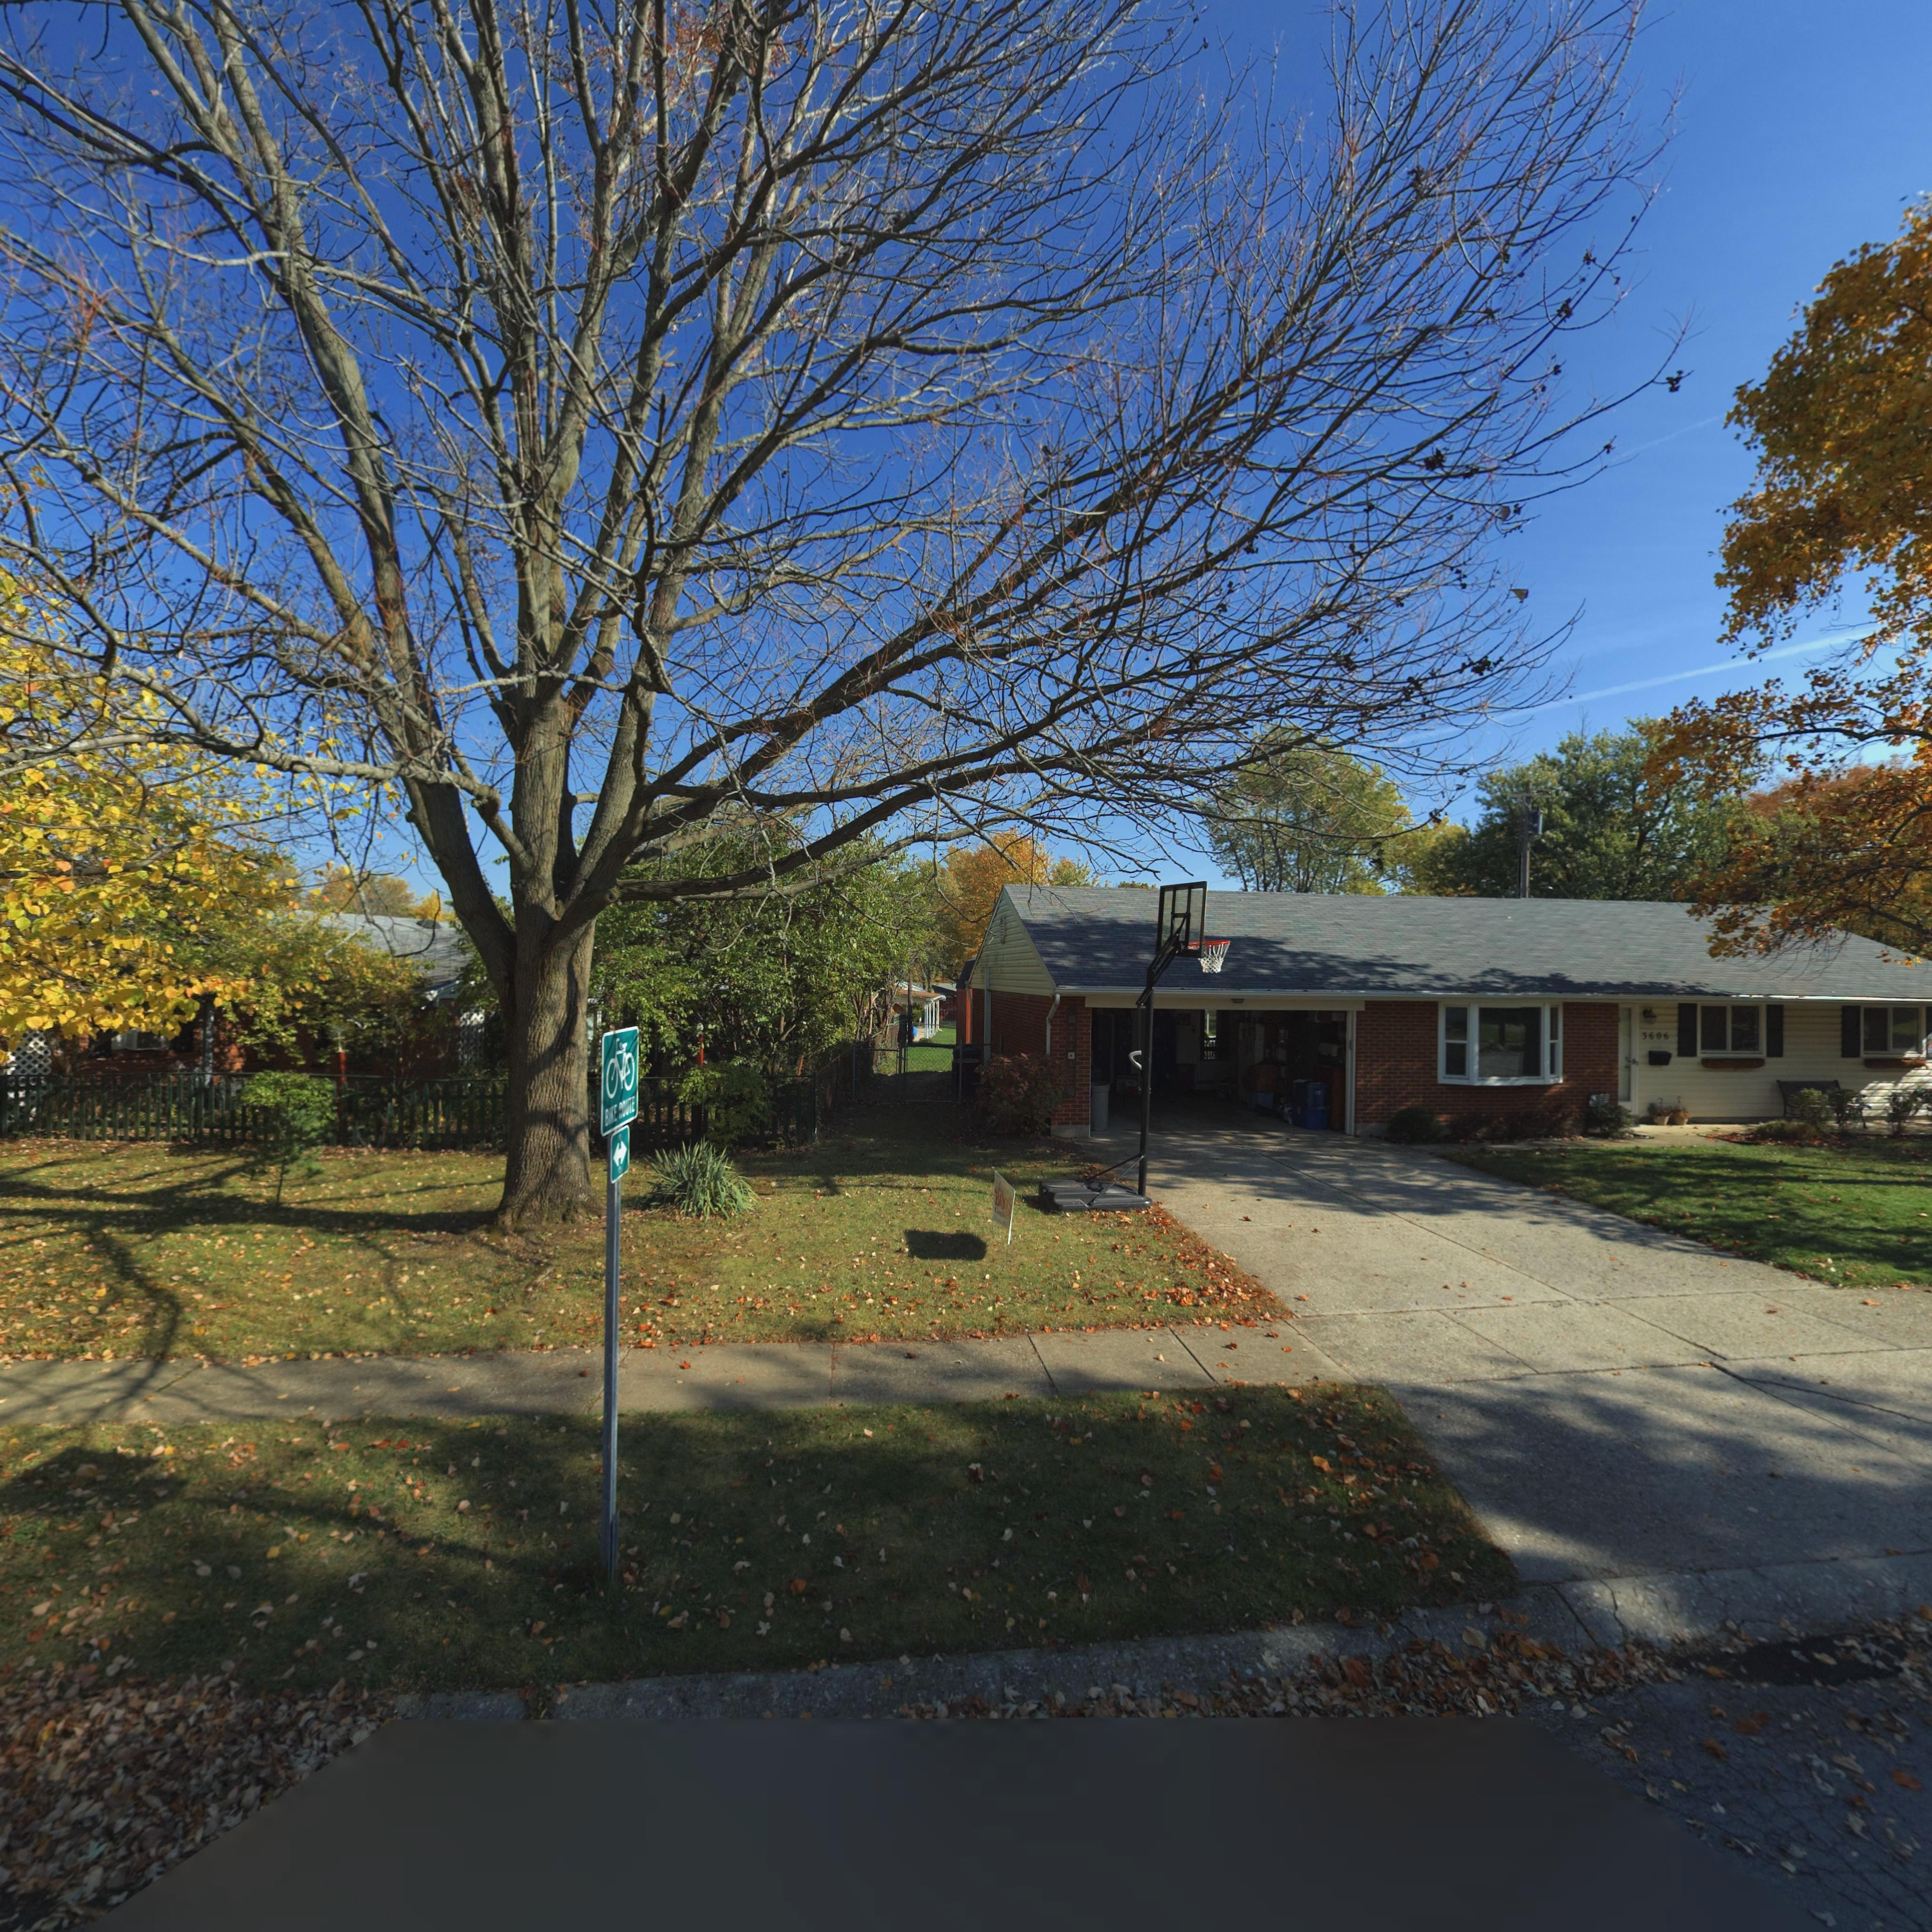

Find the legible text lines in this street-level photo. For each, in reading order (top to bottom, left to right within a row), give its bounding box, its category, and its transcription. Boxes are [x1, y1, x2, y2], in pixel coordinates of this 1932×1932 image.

[1641, 1031, 1669, 1040] StreetNumber: 3606
[605, 1094, 636, 1128] None: BIKE ROUTE